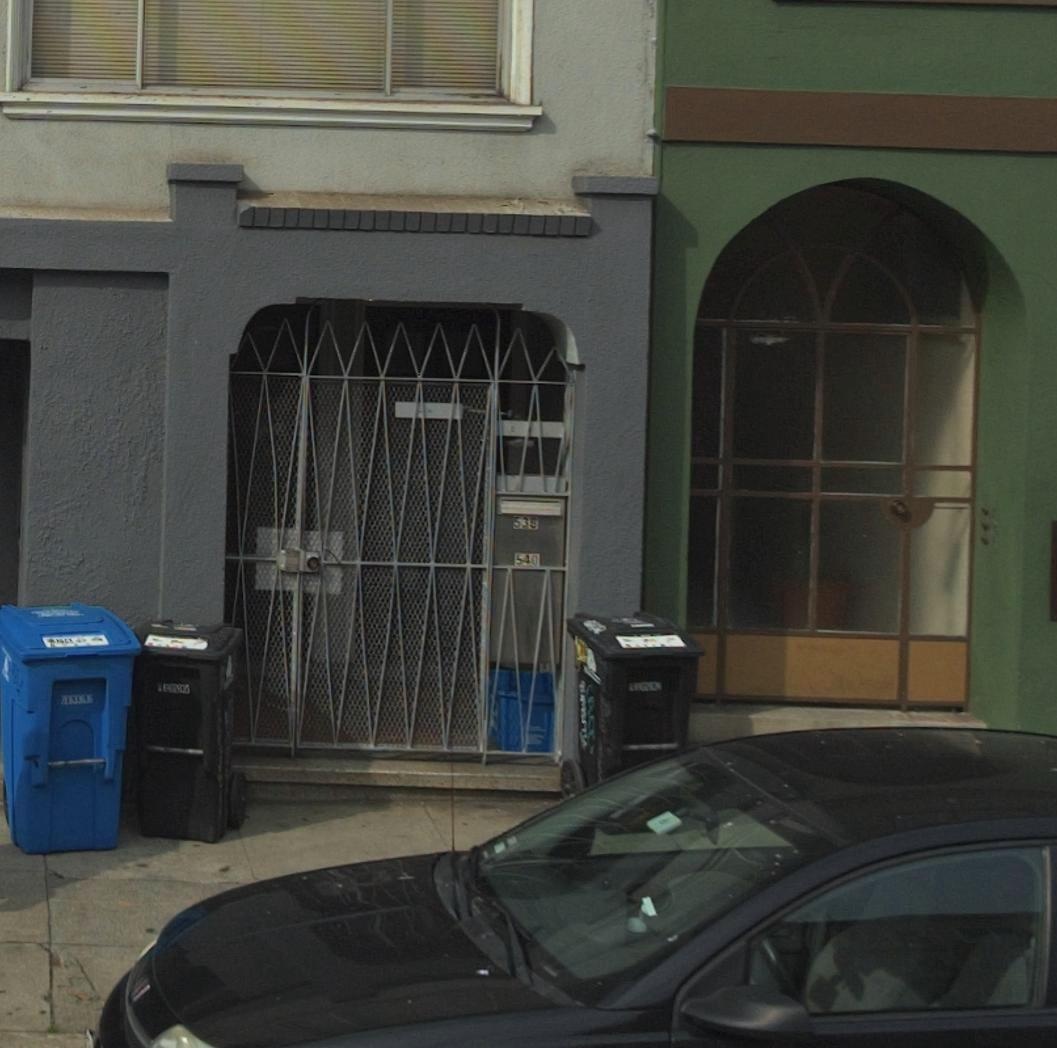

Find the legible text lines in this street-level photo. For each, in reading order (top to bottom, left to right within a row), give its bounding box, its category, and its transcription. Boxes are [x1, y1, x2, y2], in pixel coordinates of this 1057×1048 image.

[512, 515, 538, 530] StreetNumber: 538
[514, 552, 539, 567] StreetNumber: 540